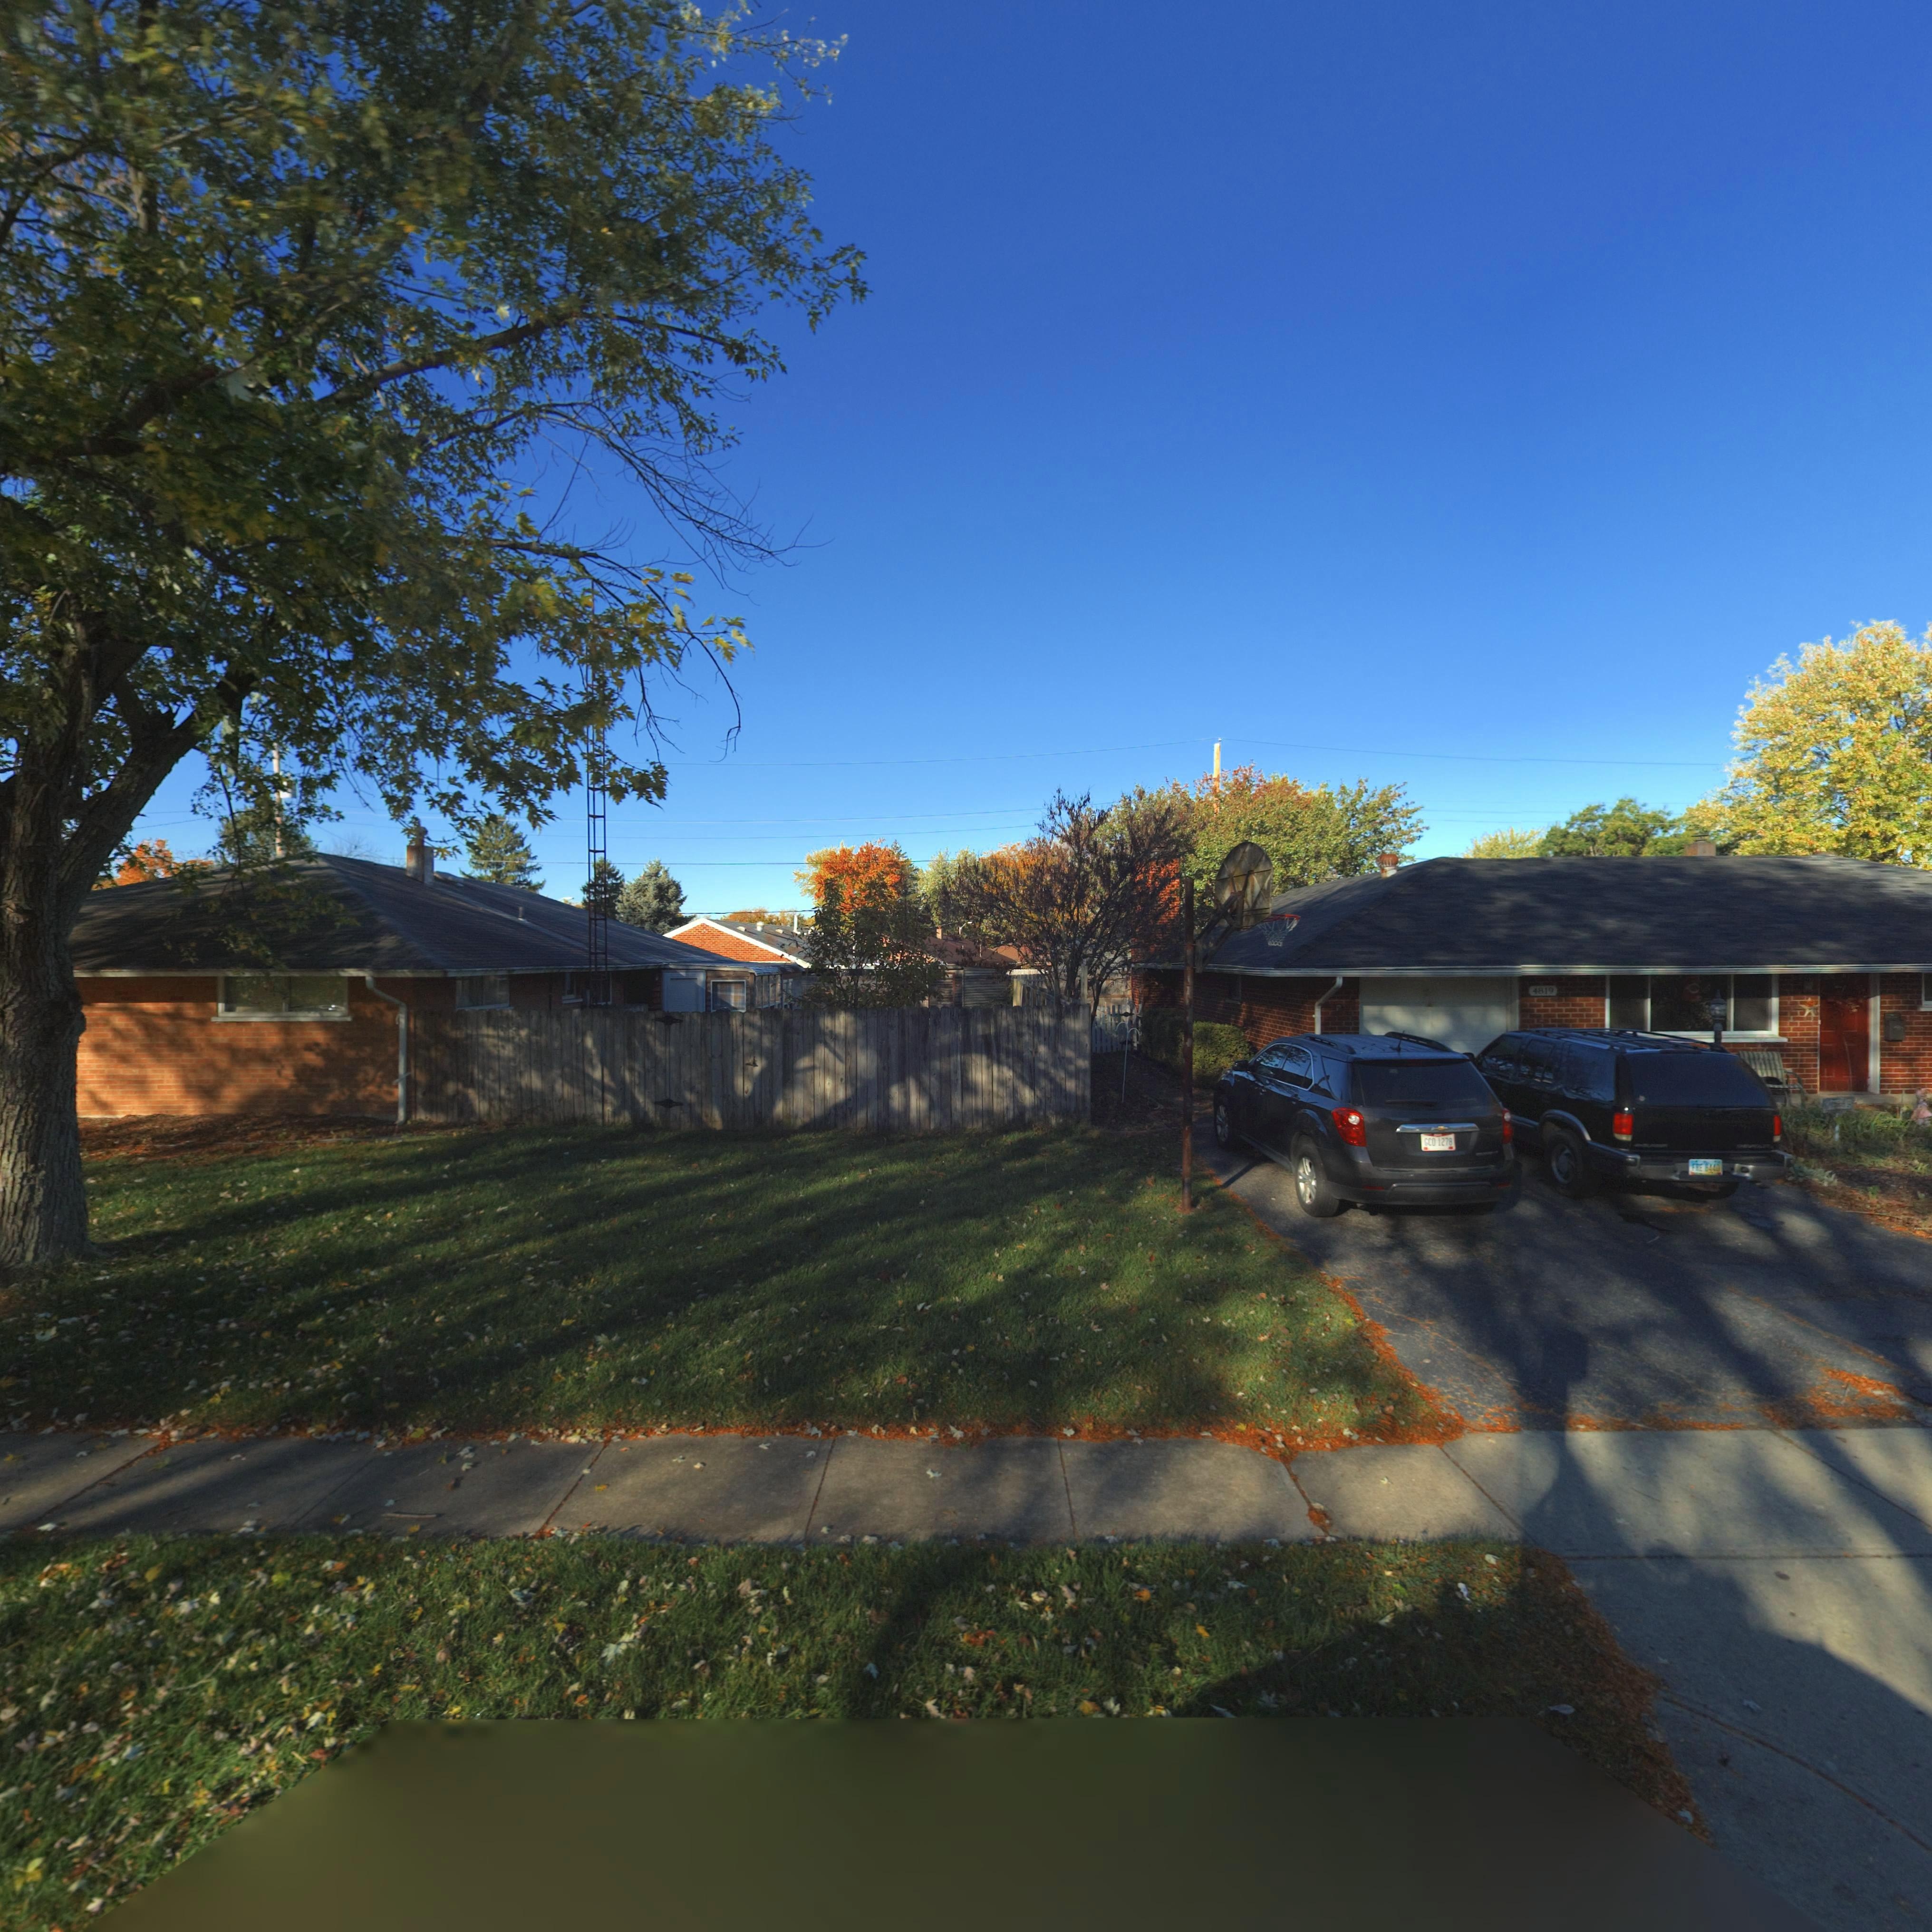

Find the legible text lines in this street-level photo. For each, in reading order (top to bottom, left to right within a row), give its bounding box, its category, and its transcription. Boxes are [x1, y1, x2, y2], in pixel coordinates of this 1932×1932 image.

[1530, 985, 1555, 996] StreetNumber: 4819